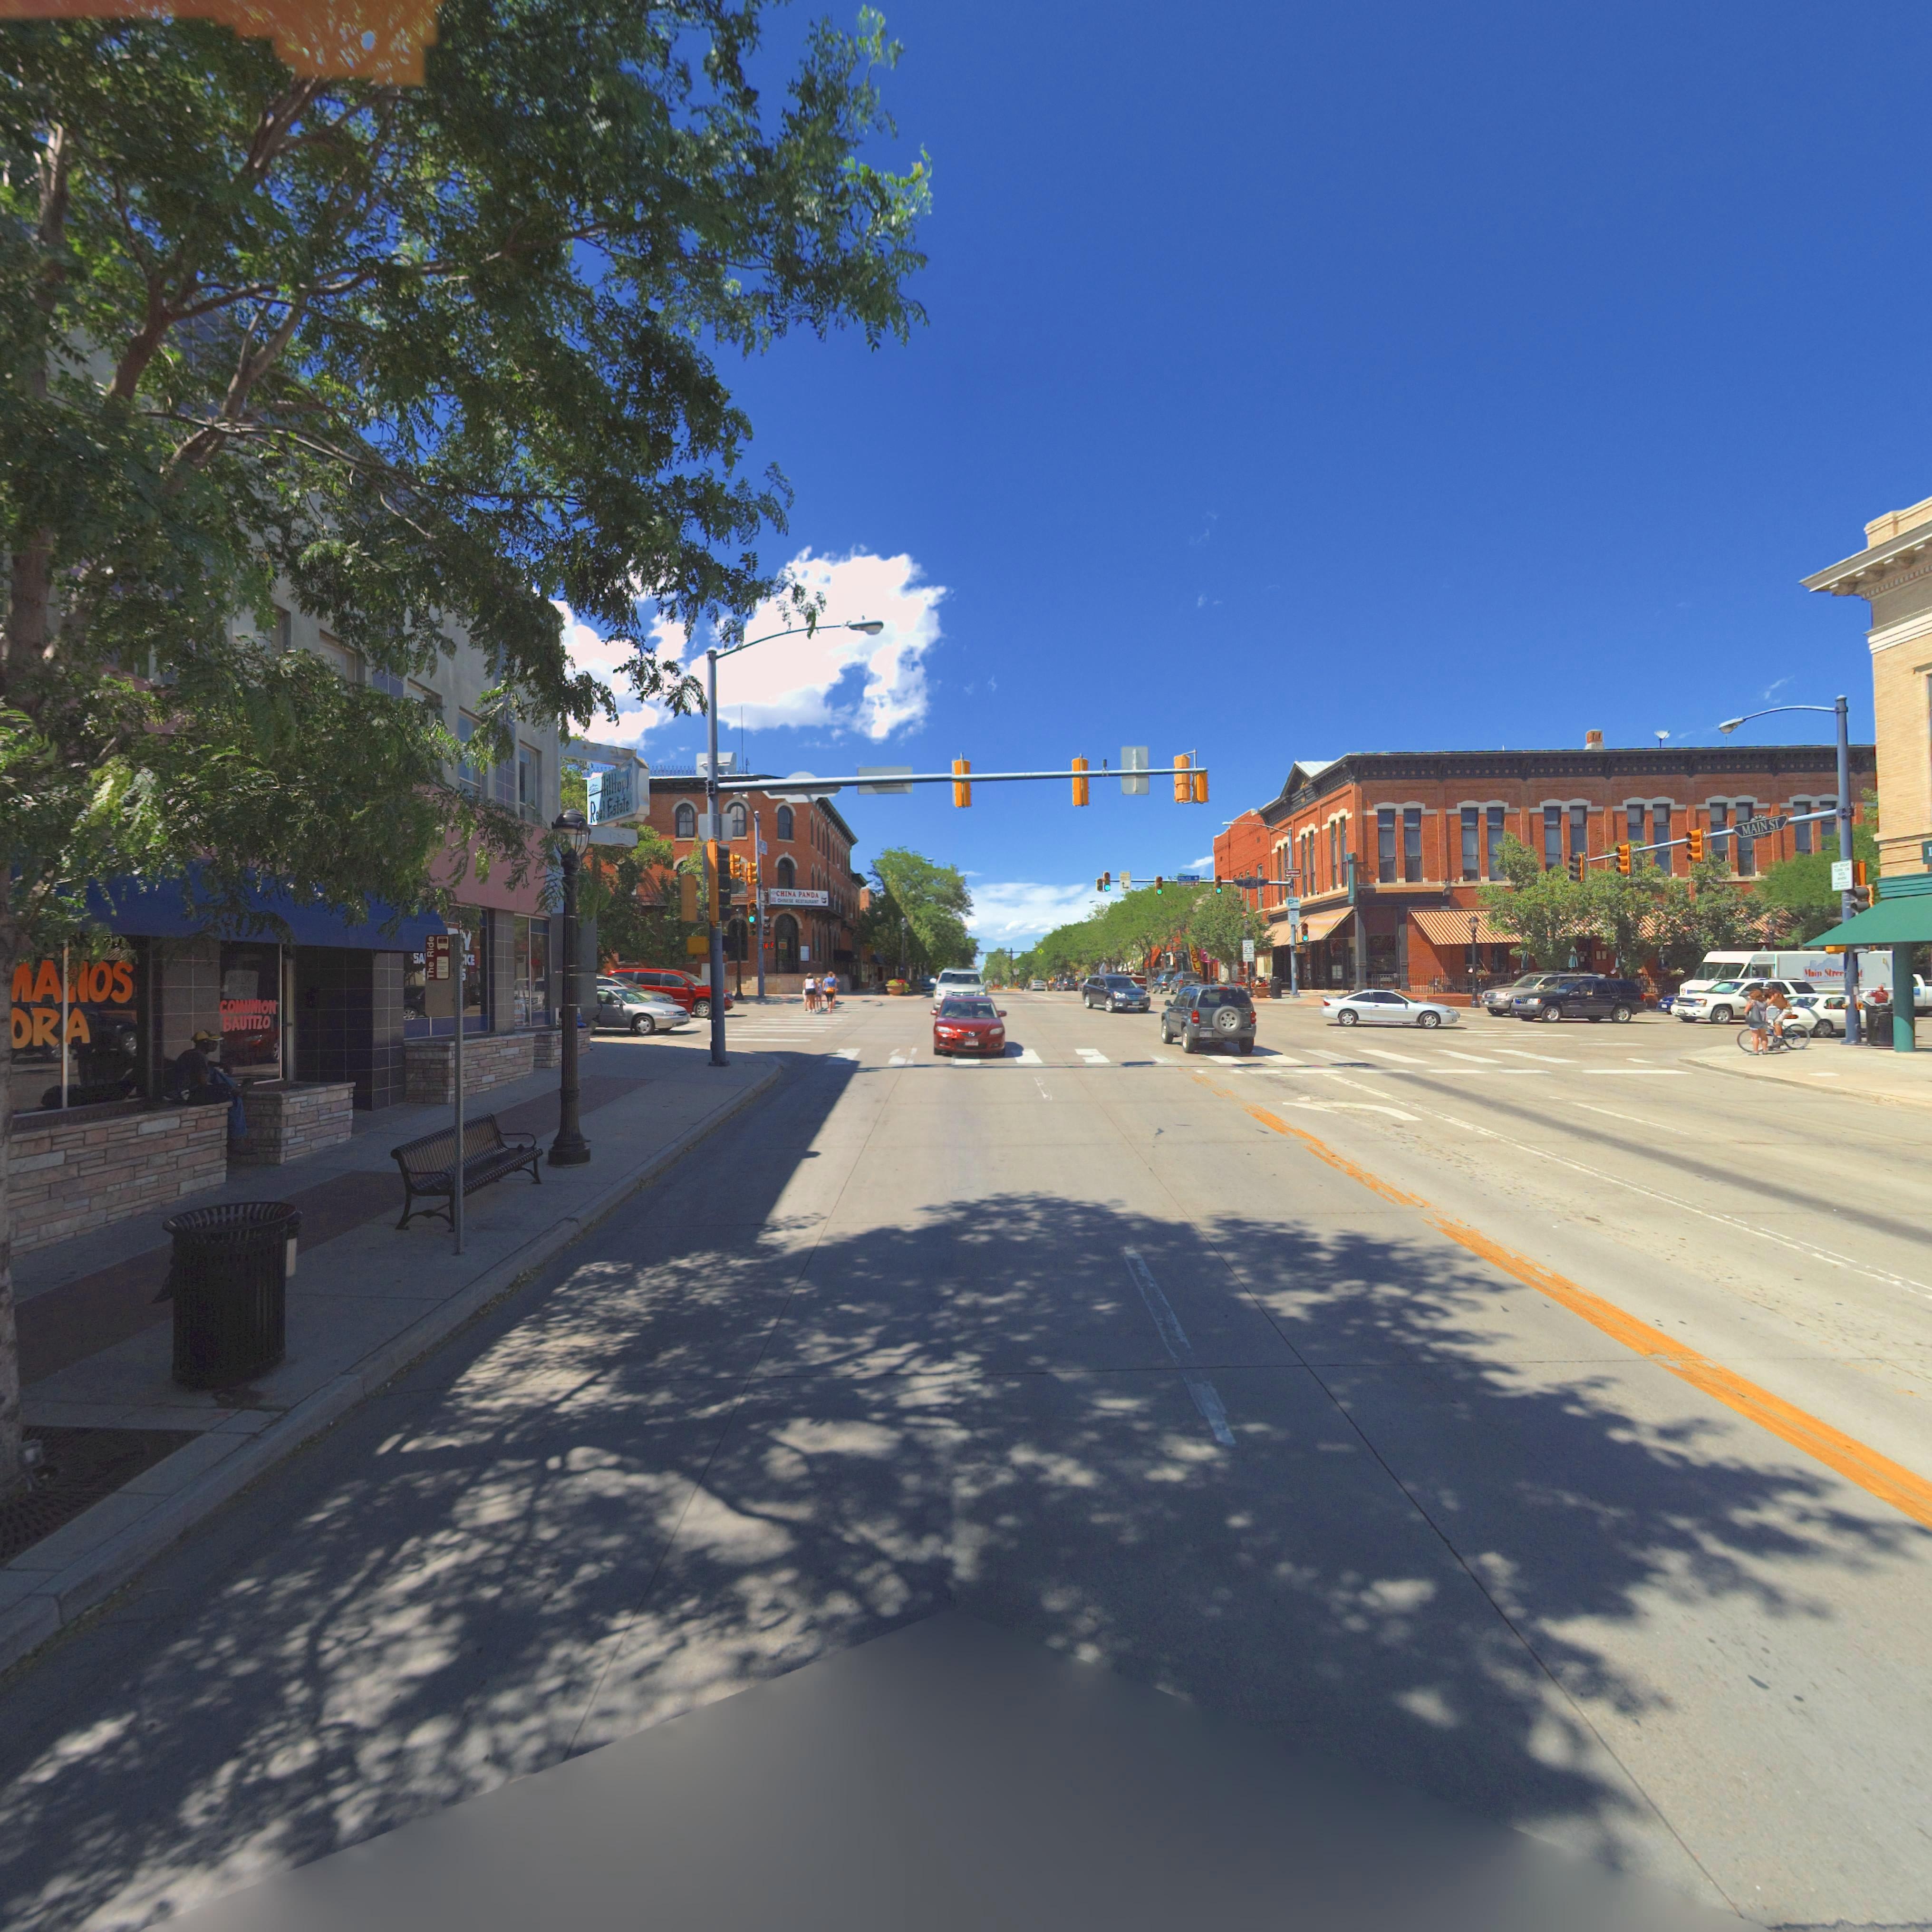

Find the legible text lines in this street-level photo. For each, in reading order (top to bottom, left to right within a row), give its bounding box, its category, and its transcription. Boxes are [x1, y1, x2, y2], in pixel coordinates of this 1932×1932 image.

[600, 771, 627, 798] BusinessName: Hilltop
[590, 793, 630, 824] BusinessName: Real Estate
[1741, 817, 1780, 836] StreetName: MAIN ST
[1241, 879, 1260, 886] StreetName: 3** AVE
[775, 890, 819, 898] BusinessName: CHINA PANDA
[776, 898, 819, 904] BusinessName: C****** **********